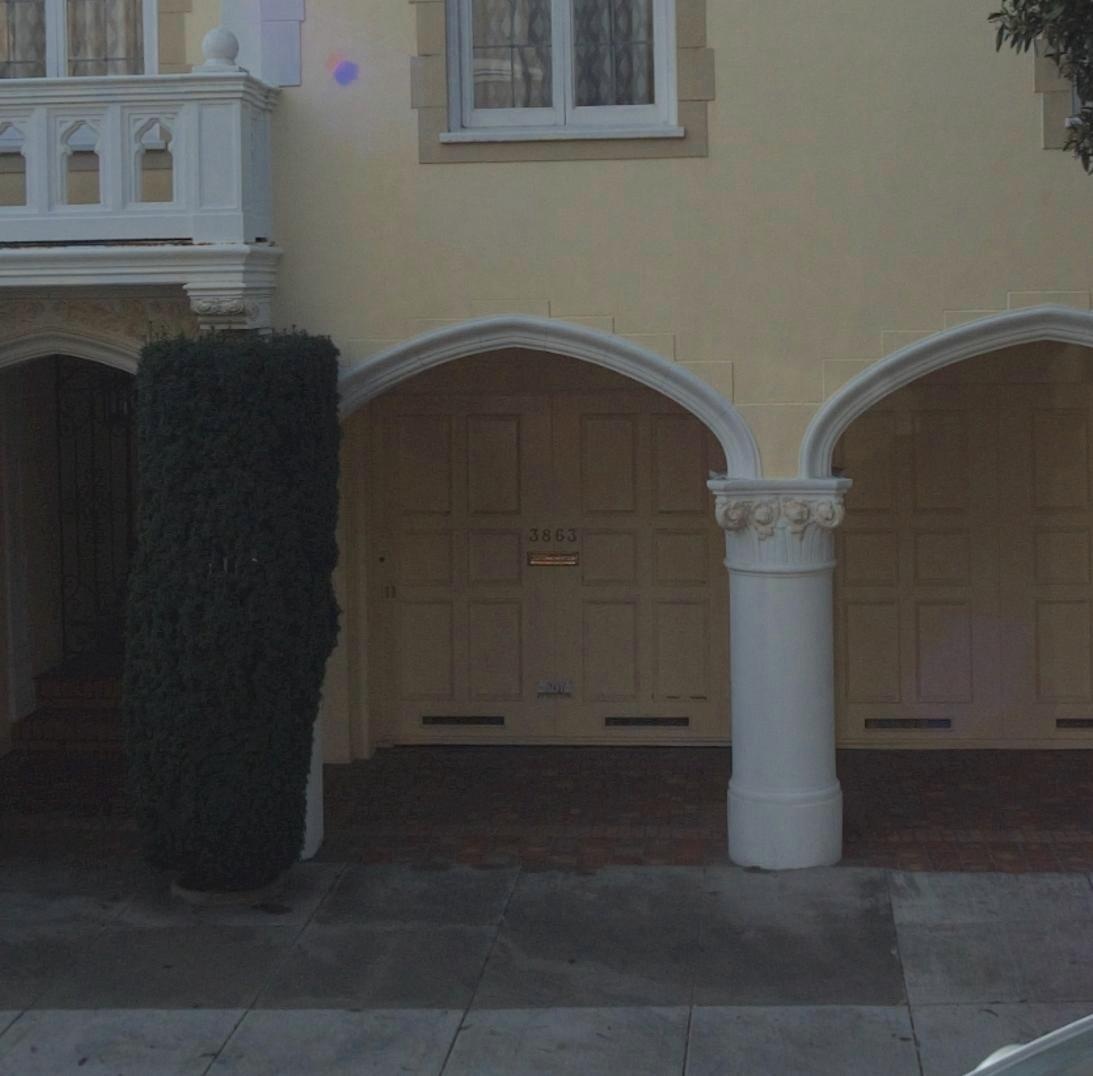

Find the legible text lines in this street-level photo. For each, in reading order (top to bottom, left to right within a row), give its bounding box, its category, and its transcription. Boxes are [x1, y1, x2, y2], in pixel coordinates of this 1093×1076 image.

[526, 526, 579, 544] StreetNumber: 3863